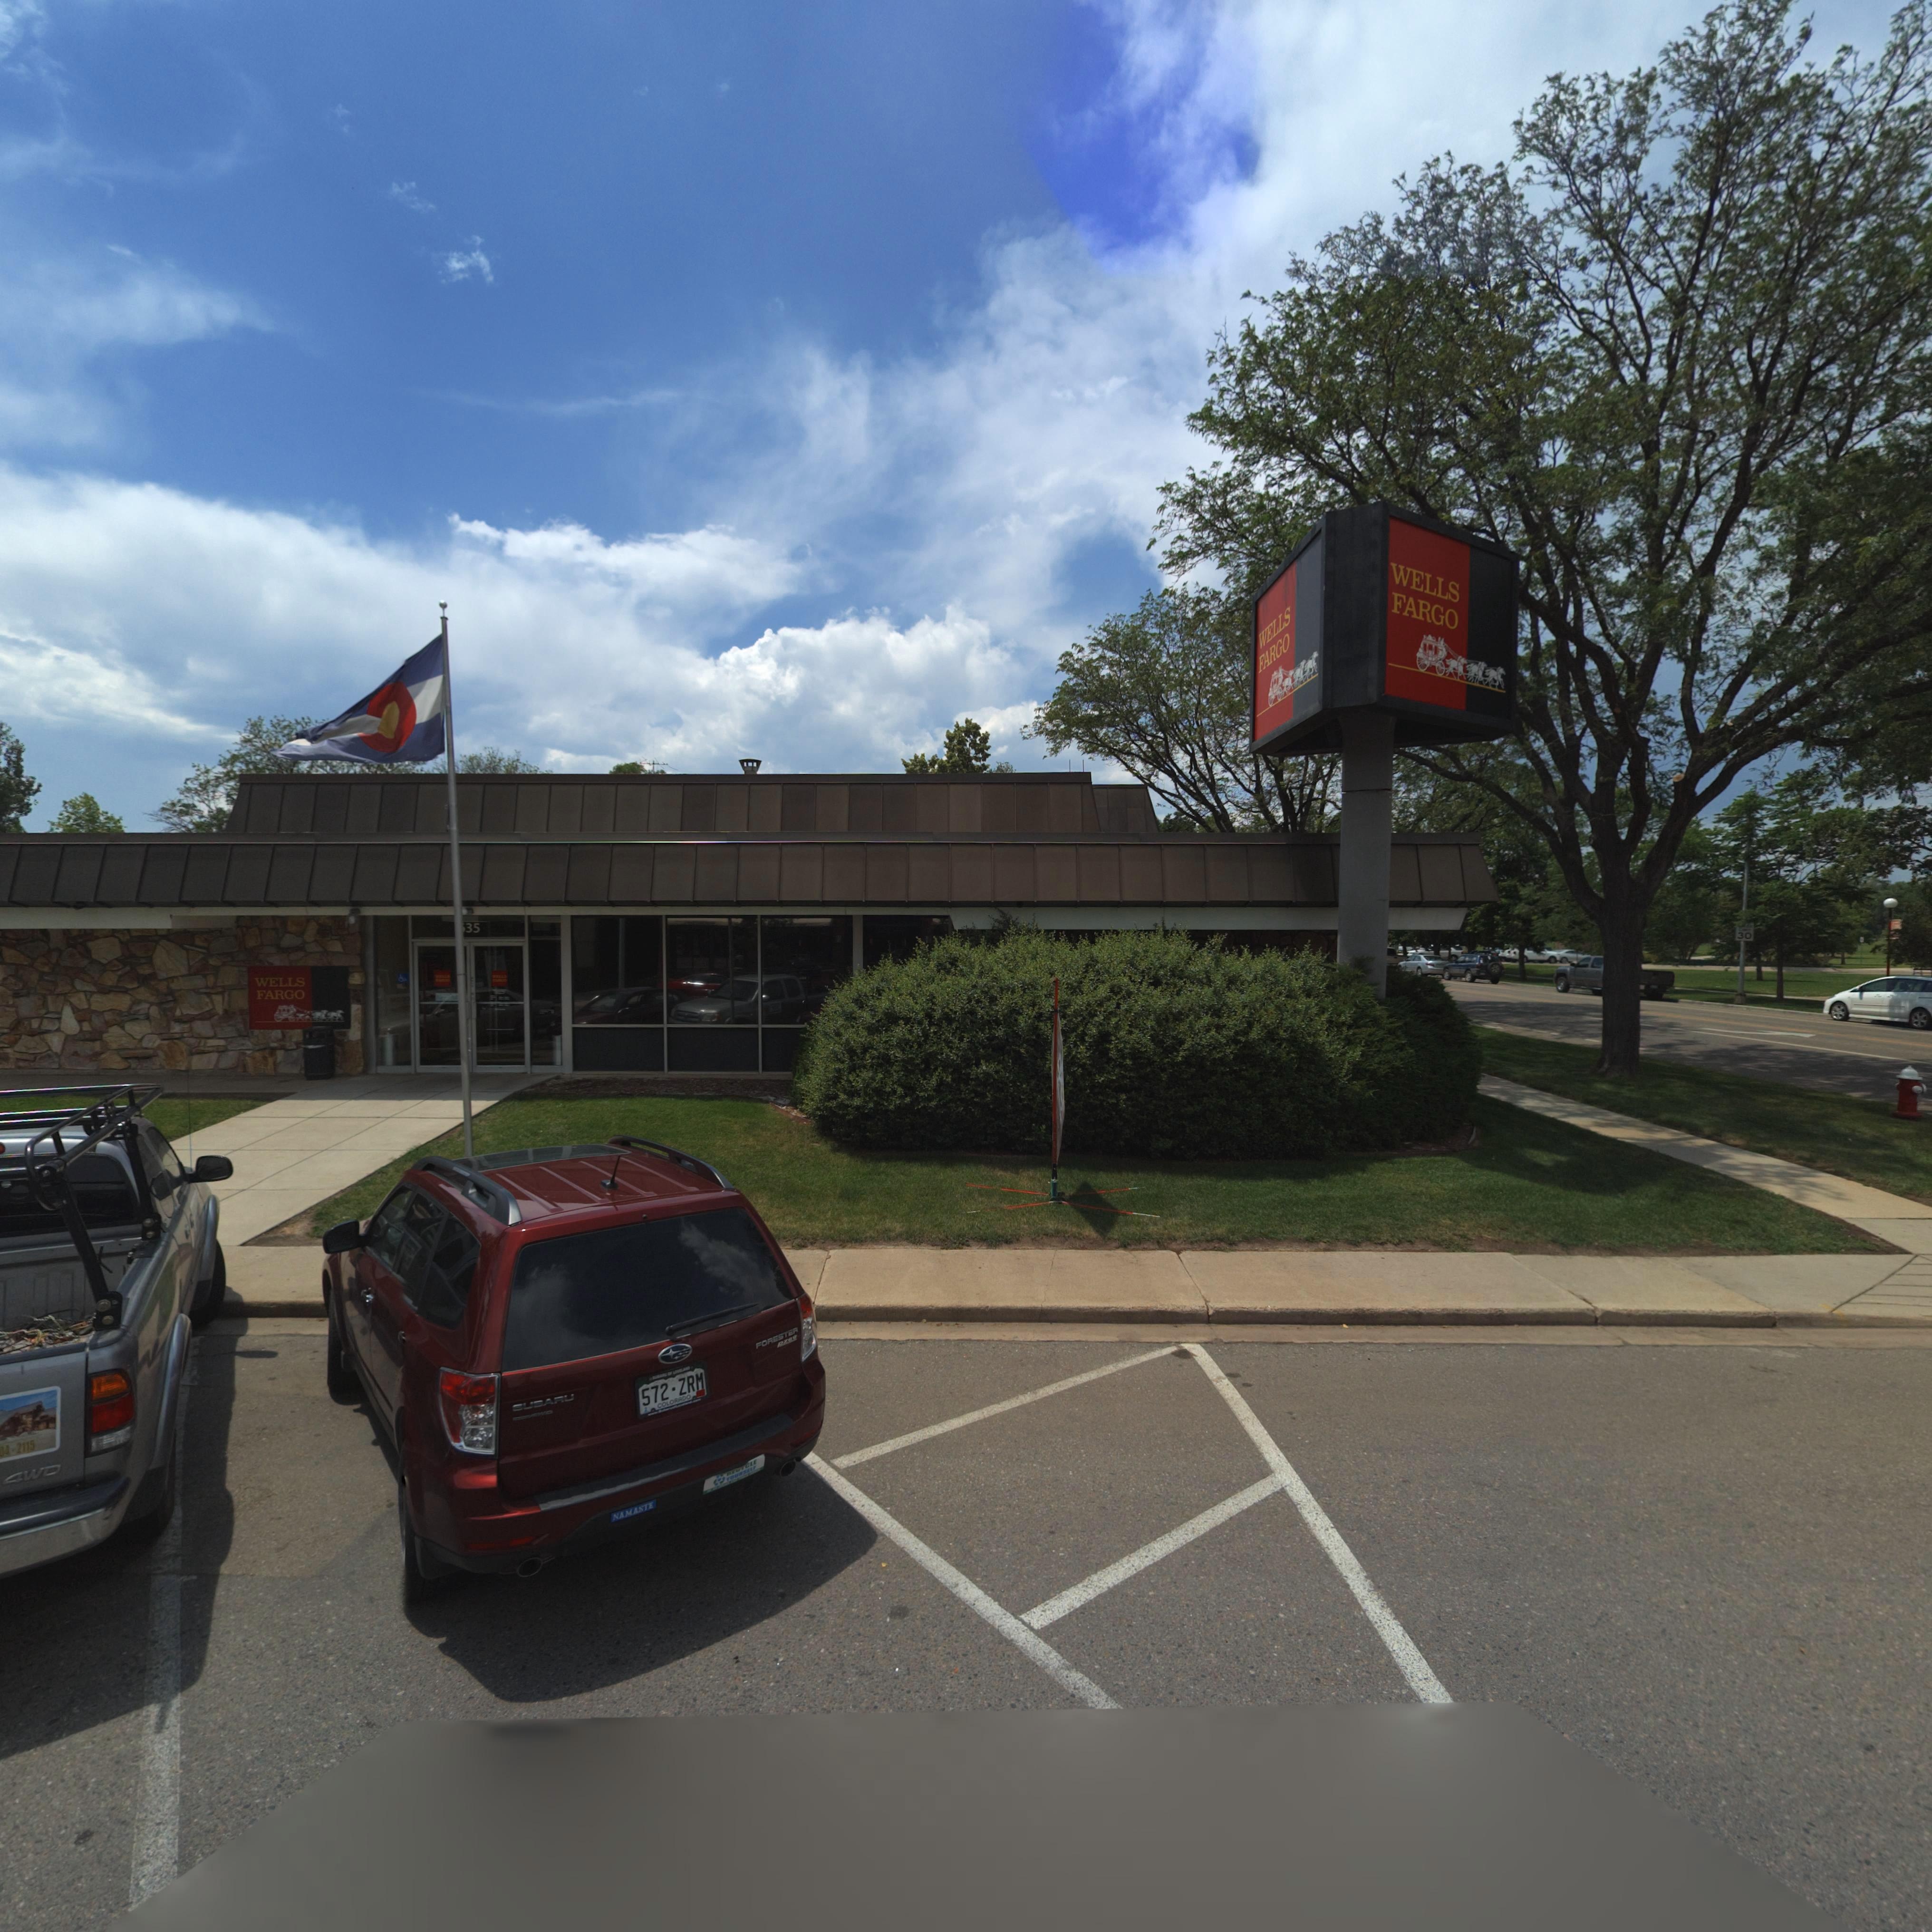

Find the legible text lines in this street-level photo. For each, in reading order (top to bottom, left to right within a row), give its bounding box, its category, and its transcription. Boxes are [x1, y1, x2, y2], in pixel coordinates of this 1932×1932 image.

[1389, 559, 1461, 604] BusinessName: WELLS
[1391, 590, 1461, 631] BusinessName: FARGO
[1258, 606, 1291, 649] BusinessName: WELLS
[1257, 632, 1290, 674] BusinessName: FARGO
[465, 923, 480, 933] StreetNumber: 35
[254, 976, 306, 988] BusinessName: WELLS
[435, 978, 450, 982] BusinessName: ****O
[492, 975, 506, 978] BusinessName: **LLS
[492, 978, 506, 982] BusinessName: ***GO
[256, 989, 306, 1001] BusinessName: FARGO